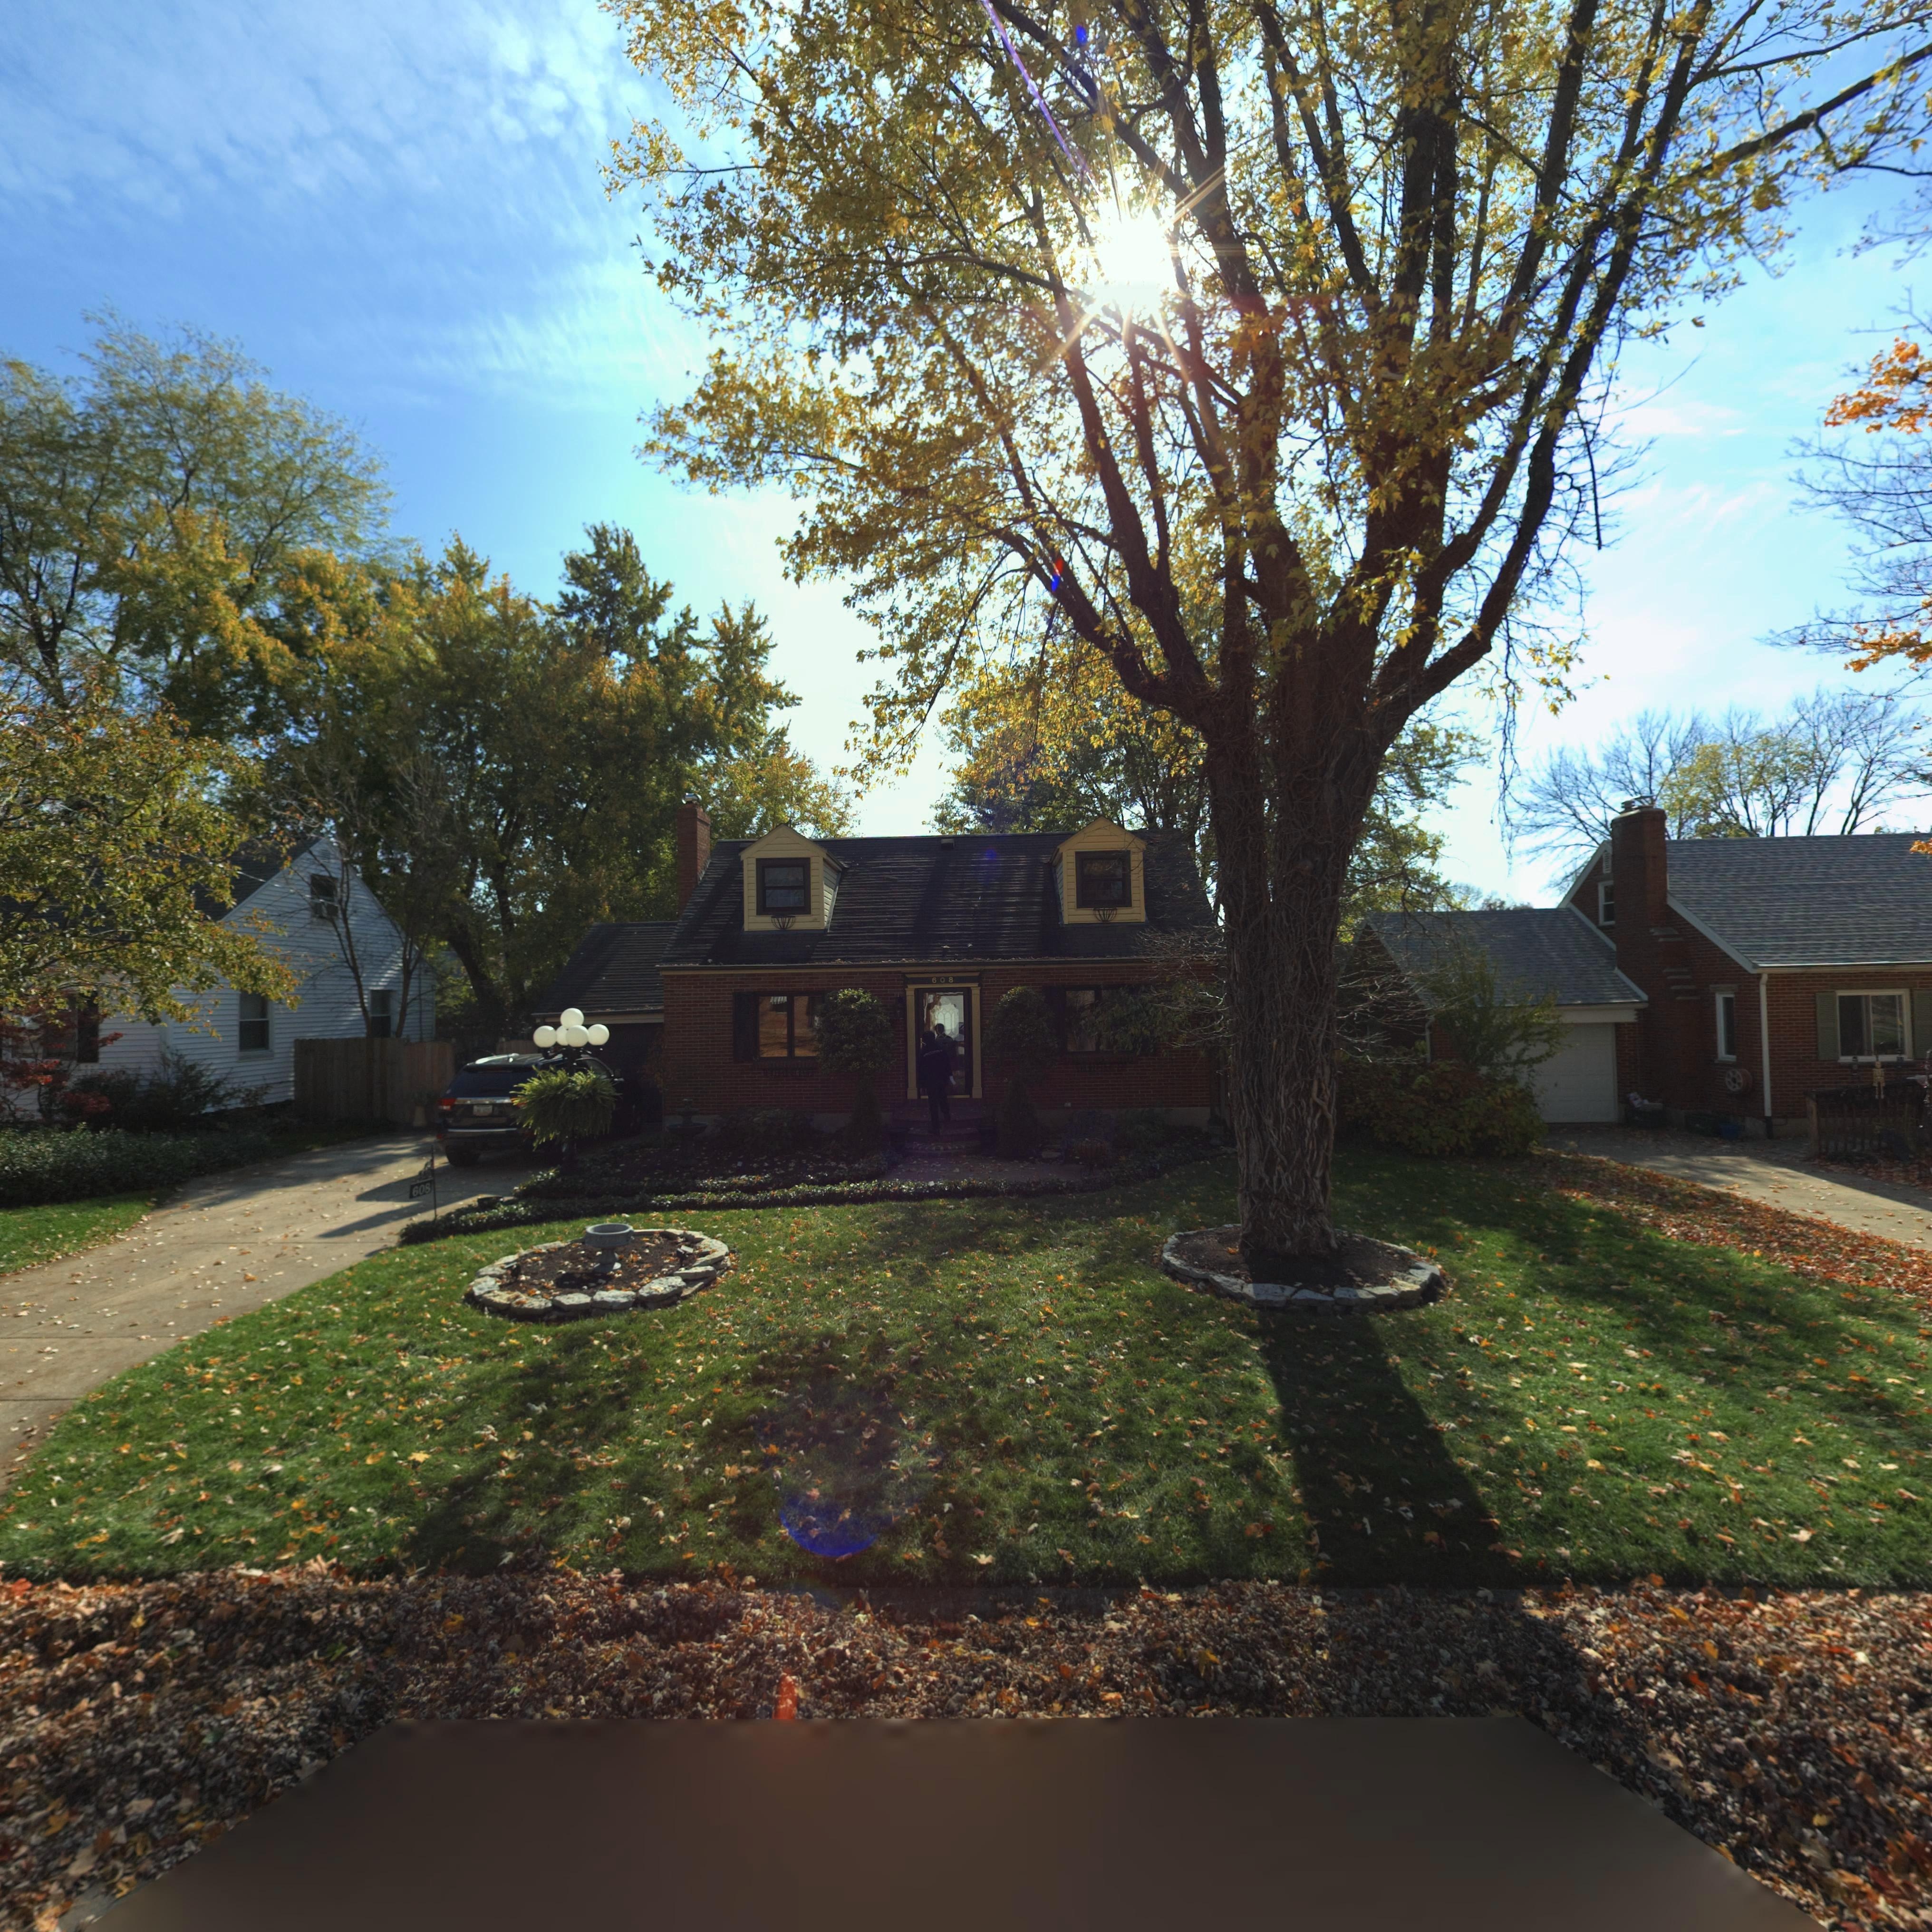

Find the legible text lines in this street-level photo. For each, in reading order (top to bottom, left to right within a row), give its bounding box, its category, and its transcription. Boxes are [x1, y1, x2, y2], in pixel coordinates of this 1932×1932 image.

[931, 976, 954, 984] StreetNumber: 608
[412, 1181, 431, 1197] StreetNumber: 608